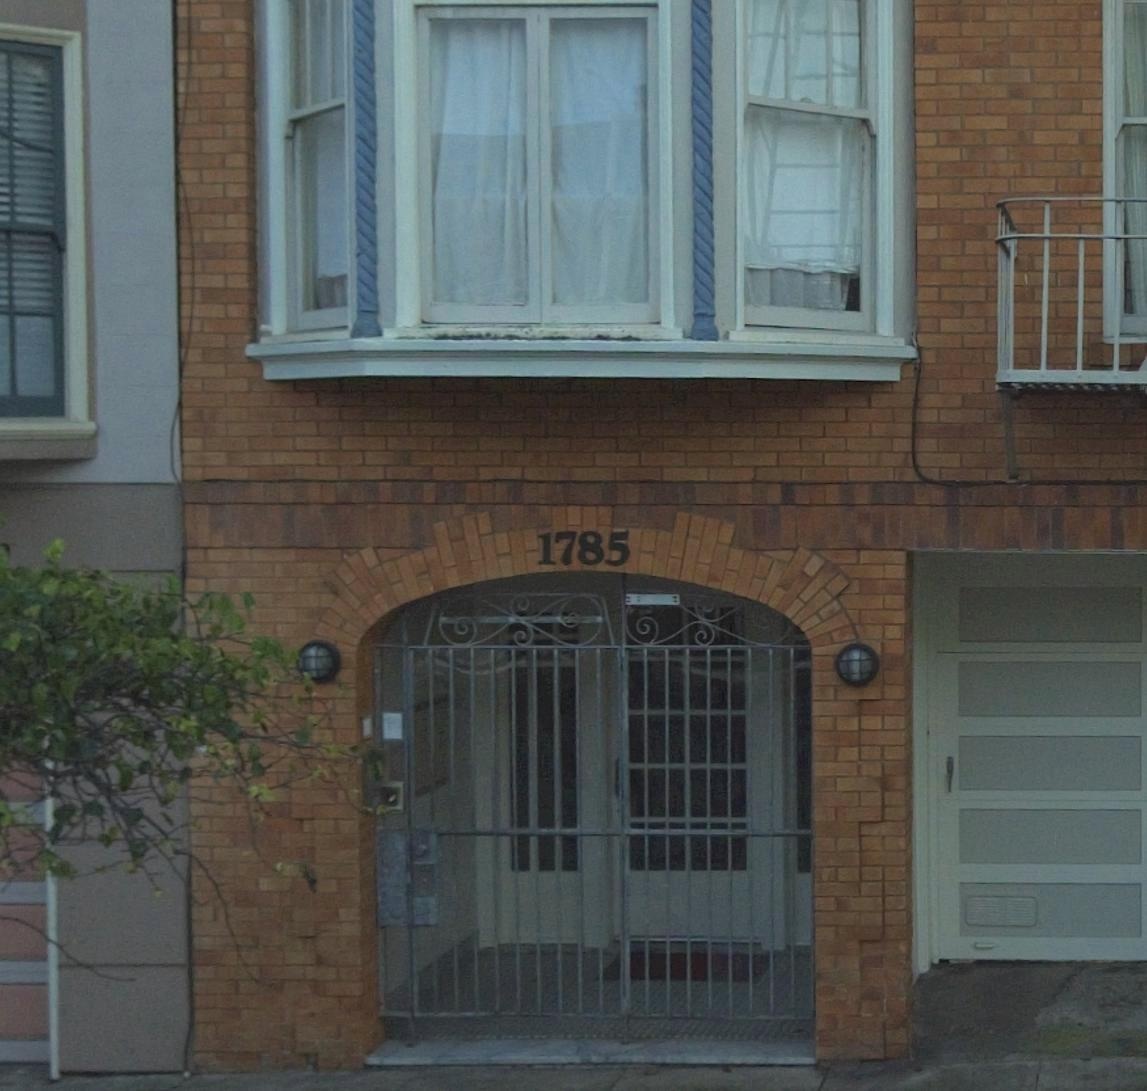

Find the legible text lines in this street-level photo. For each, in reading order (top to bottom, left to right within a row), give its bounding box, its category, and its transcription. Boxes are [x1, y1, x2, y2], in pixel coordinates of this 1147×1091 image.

[534, 528, 633, 569] StreetNumber: 1785